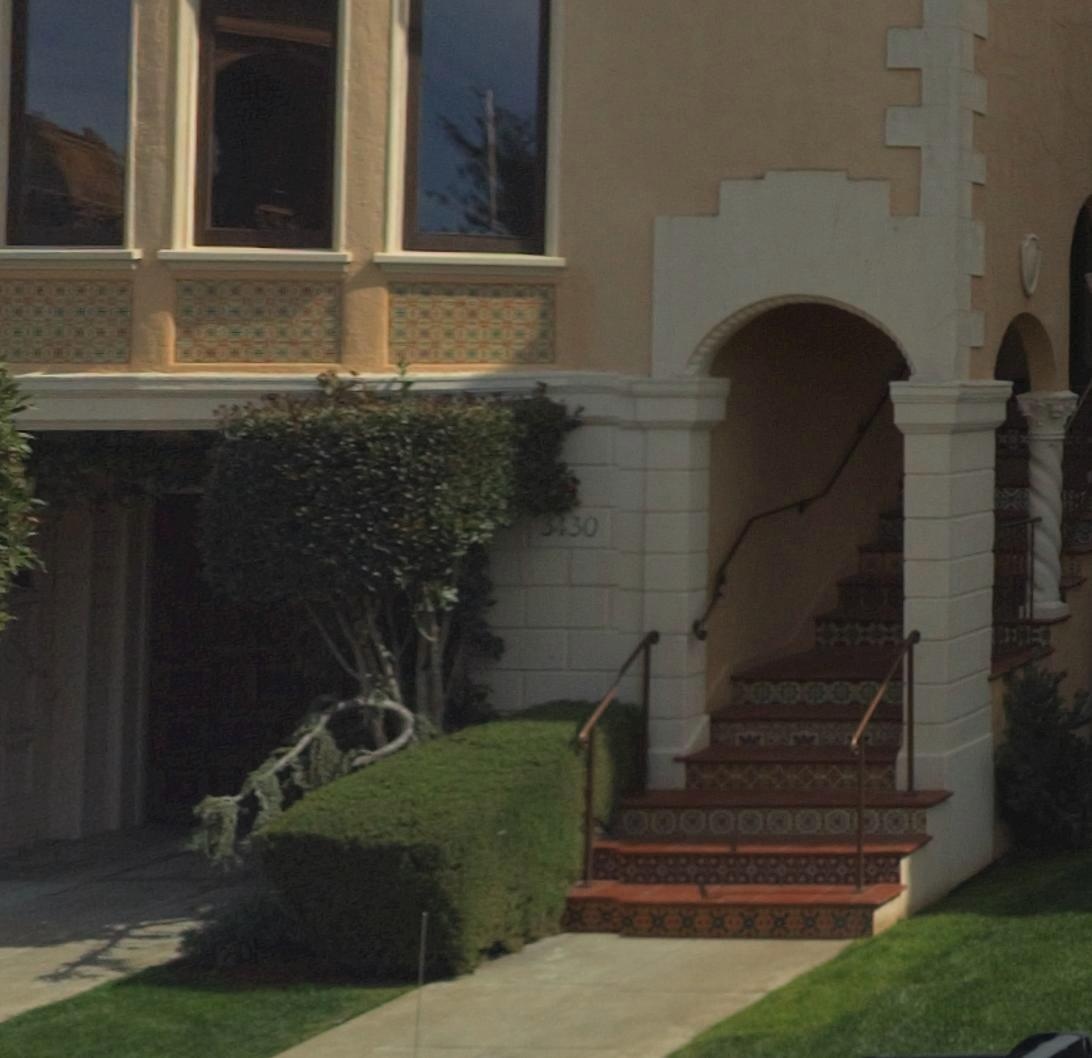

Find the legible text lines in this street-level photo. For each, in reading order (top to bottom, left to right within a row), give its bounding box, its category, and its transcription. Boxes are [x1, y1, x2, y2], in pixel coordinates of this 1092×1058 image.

[537, 513, 602, 540] StreetNumber: 3430